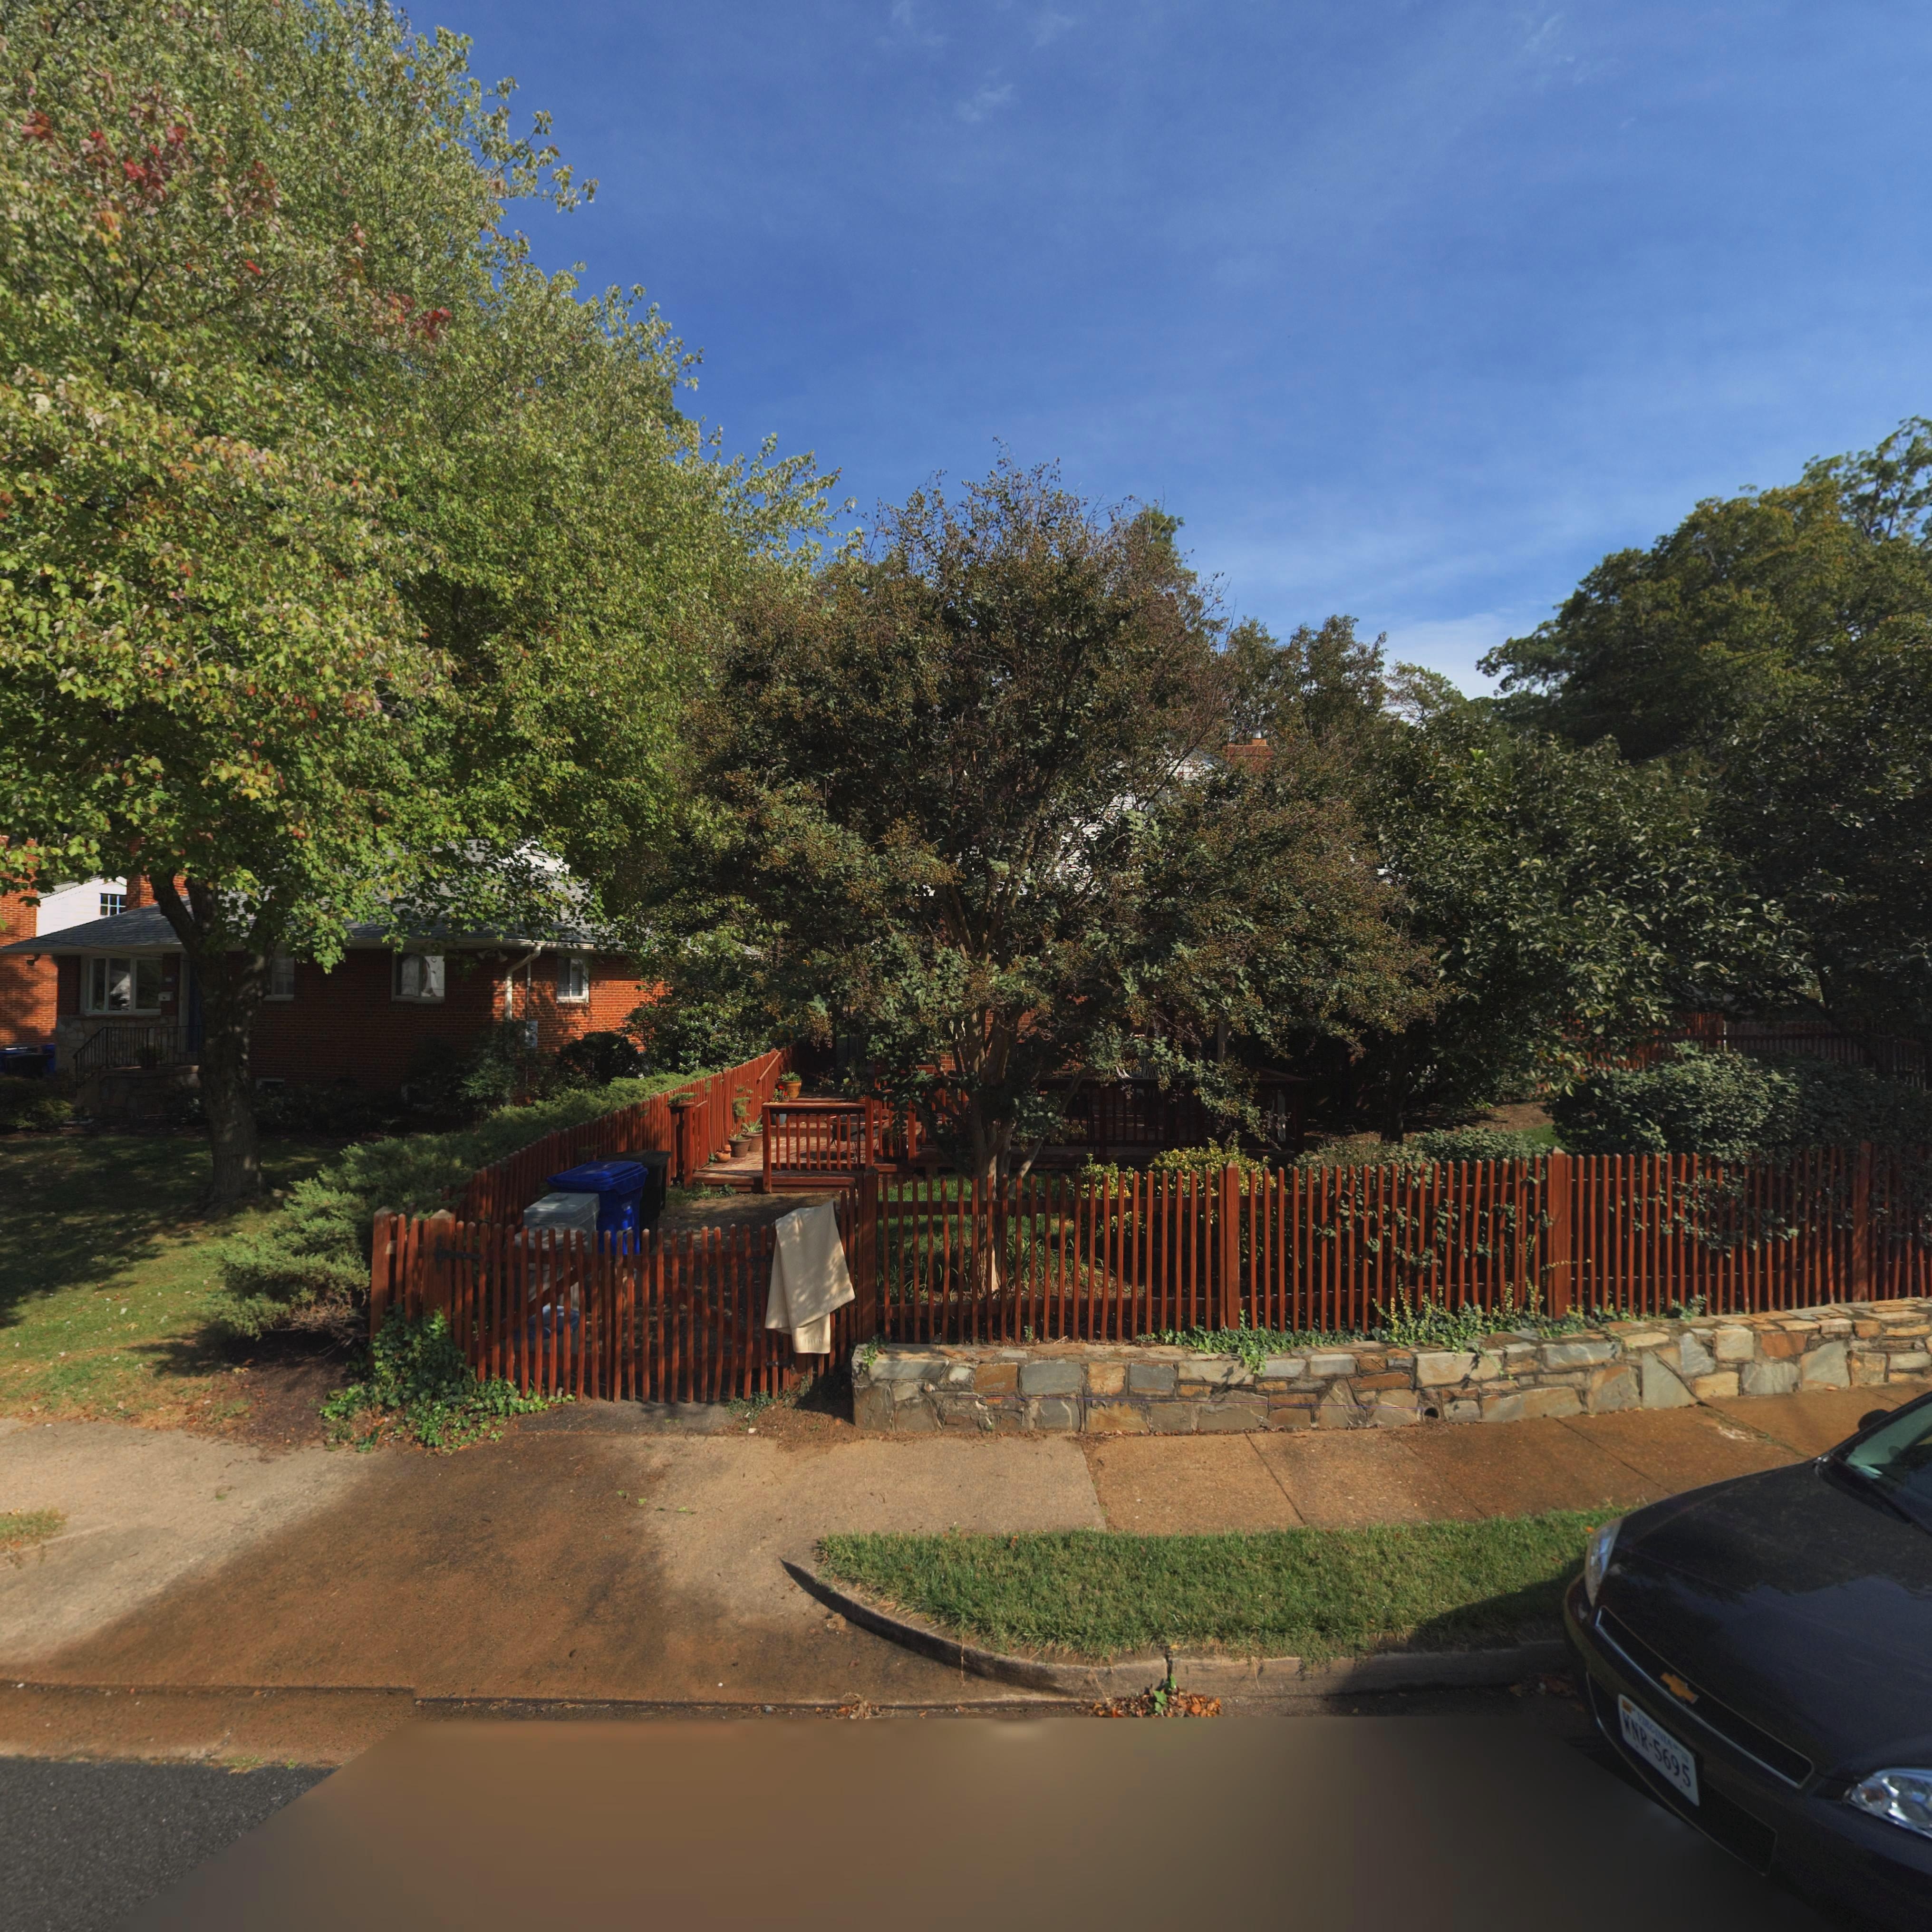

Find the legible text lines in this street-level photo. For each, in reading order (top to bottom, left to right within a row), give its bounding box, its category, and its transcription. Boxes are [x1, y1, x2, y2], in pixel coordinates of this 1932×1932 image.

[1619, 1707, 1693, 1790] None: WNR*5695